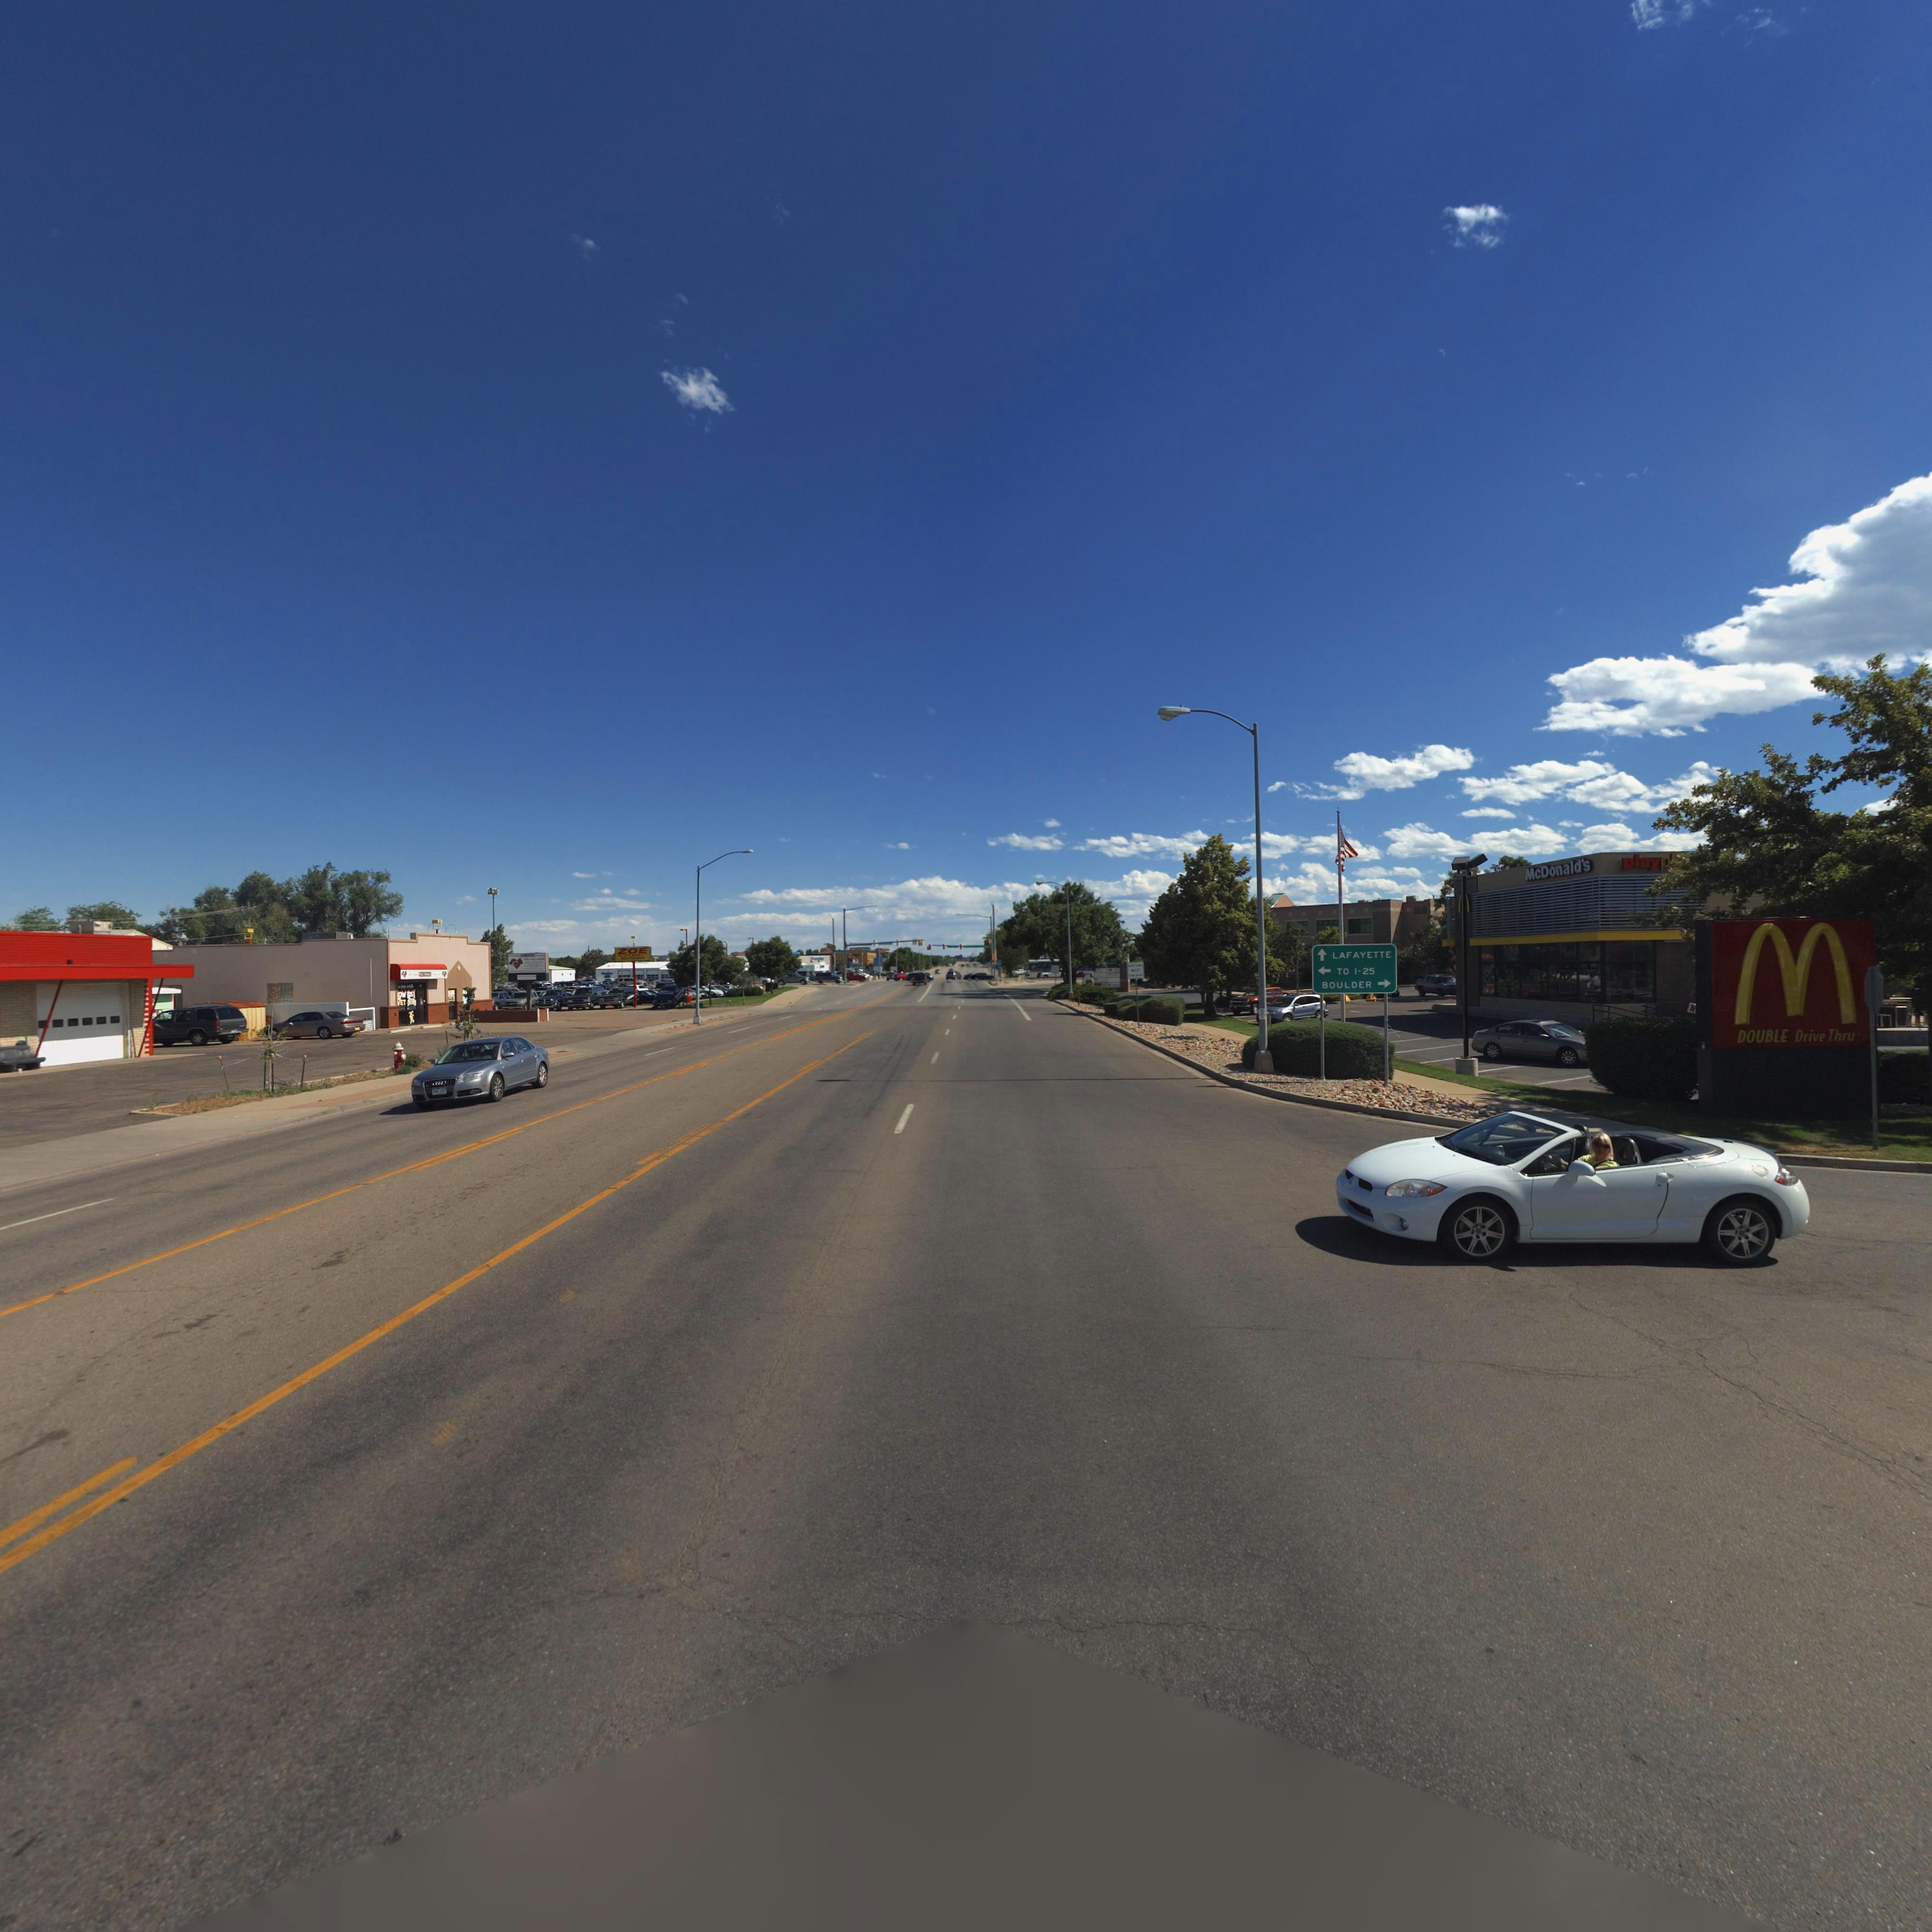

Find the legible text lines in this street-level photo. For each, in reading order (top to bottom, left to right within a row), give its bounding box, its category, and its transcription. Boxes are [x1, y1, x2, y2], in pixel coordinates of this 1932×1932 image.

[1525, 858, 1591, 881] BusinessName: McDonald's
[617, 947, 648, 955] BusinessName: ZOE